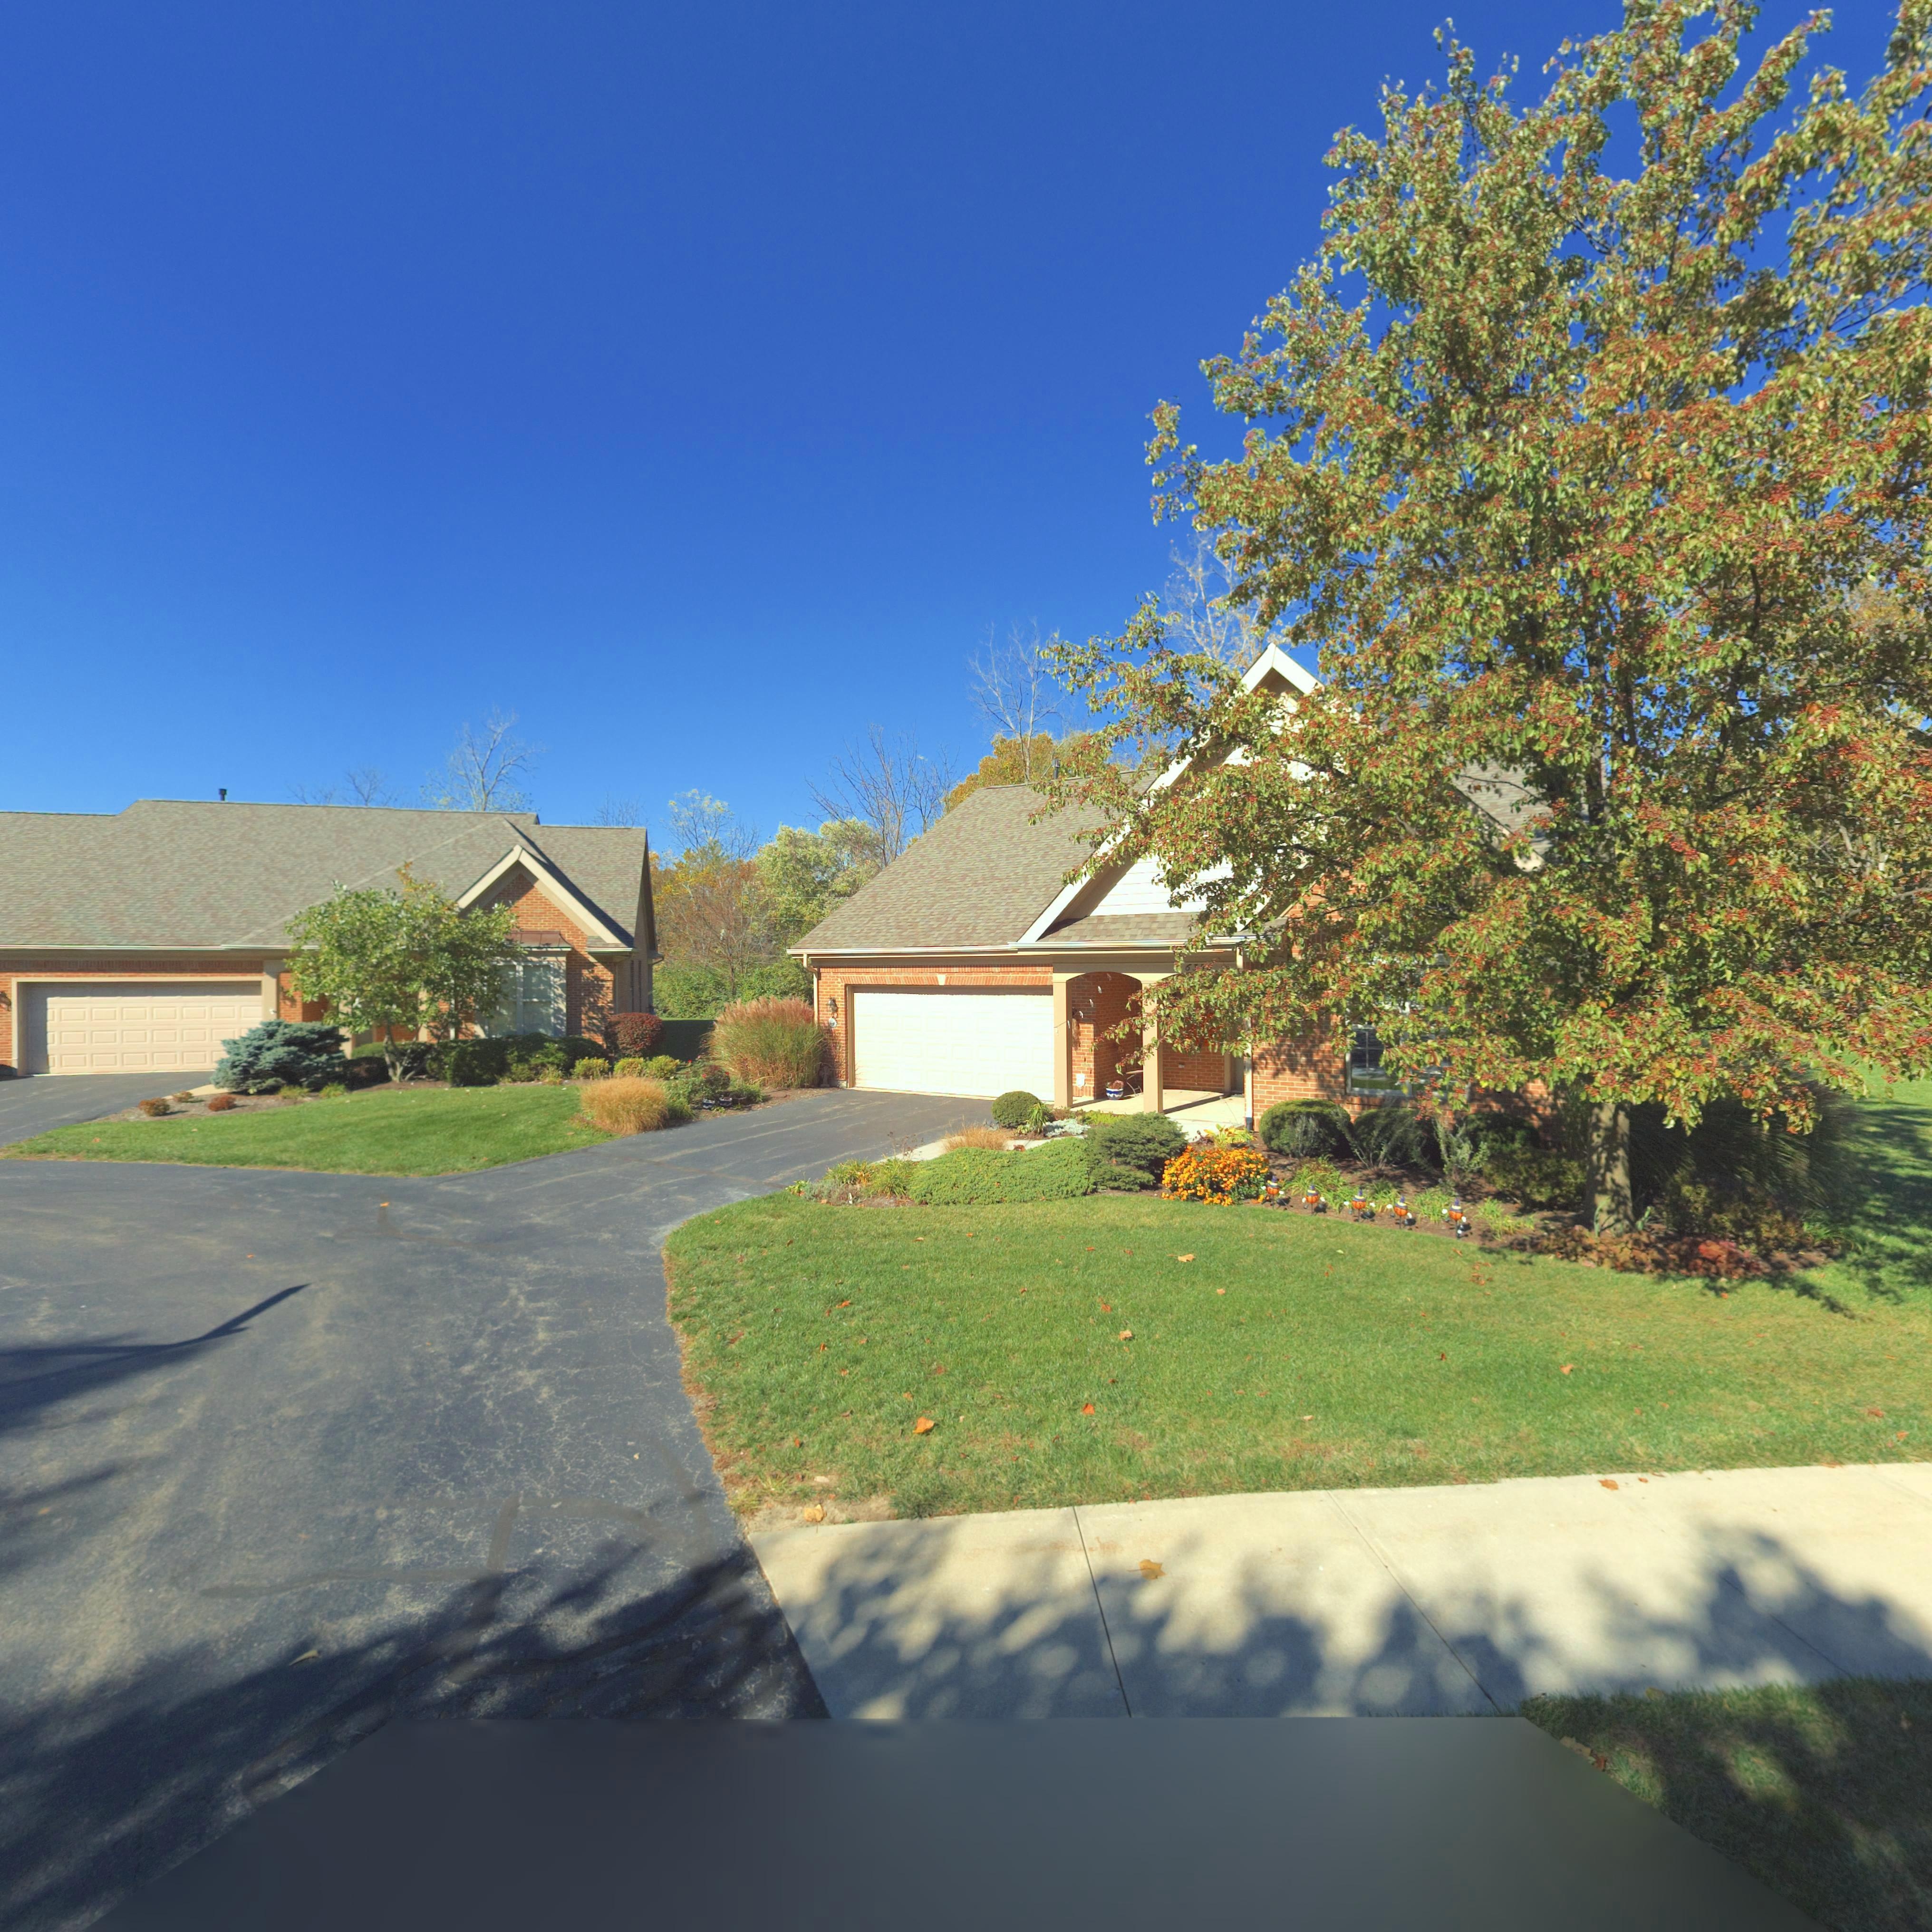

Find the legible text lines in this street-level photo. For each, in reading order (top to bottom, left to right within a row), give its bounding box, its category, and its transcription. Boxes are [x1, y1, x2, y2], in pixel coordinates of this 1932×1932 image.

[1184, 963, 1193, 972] StreetNumber: 6